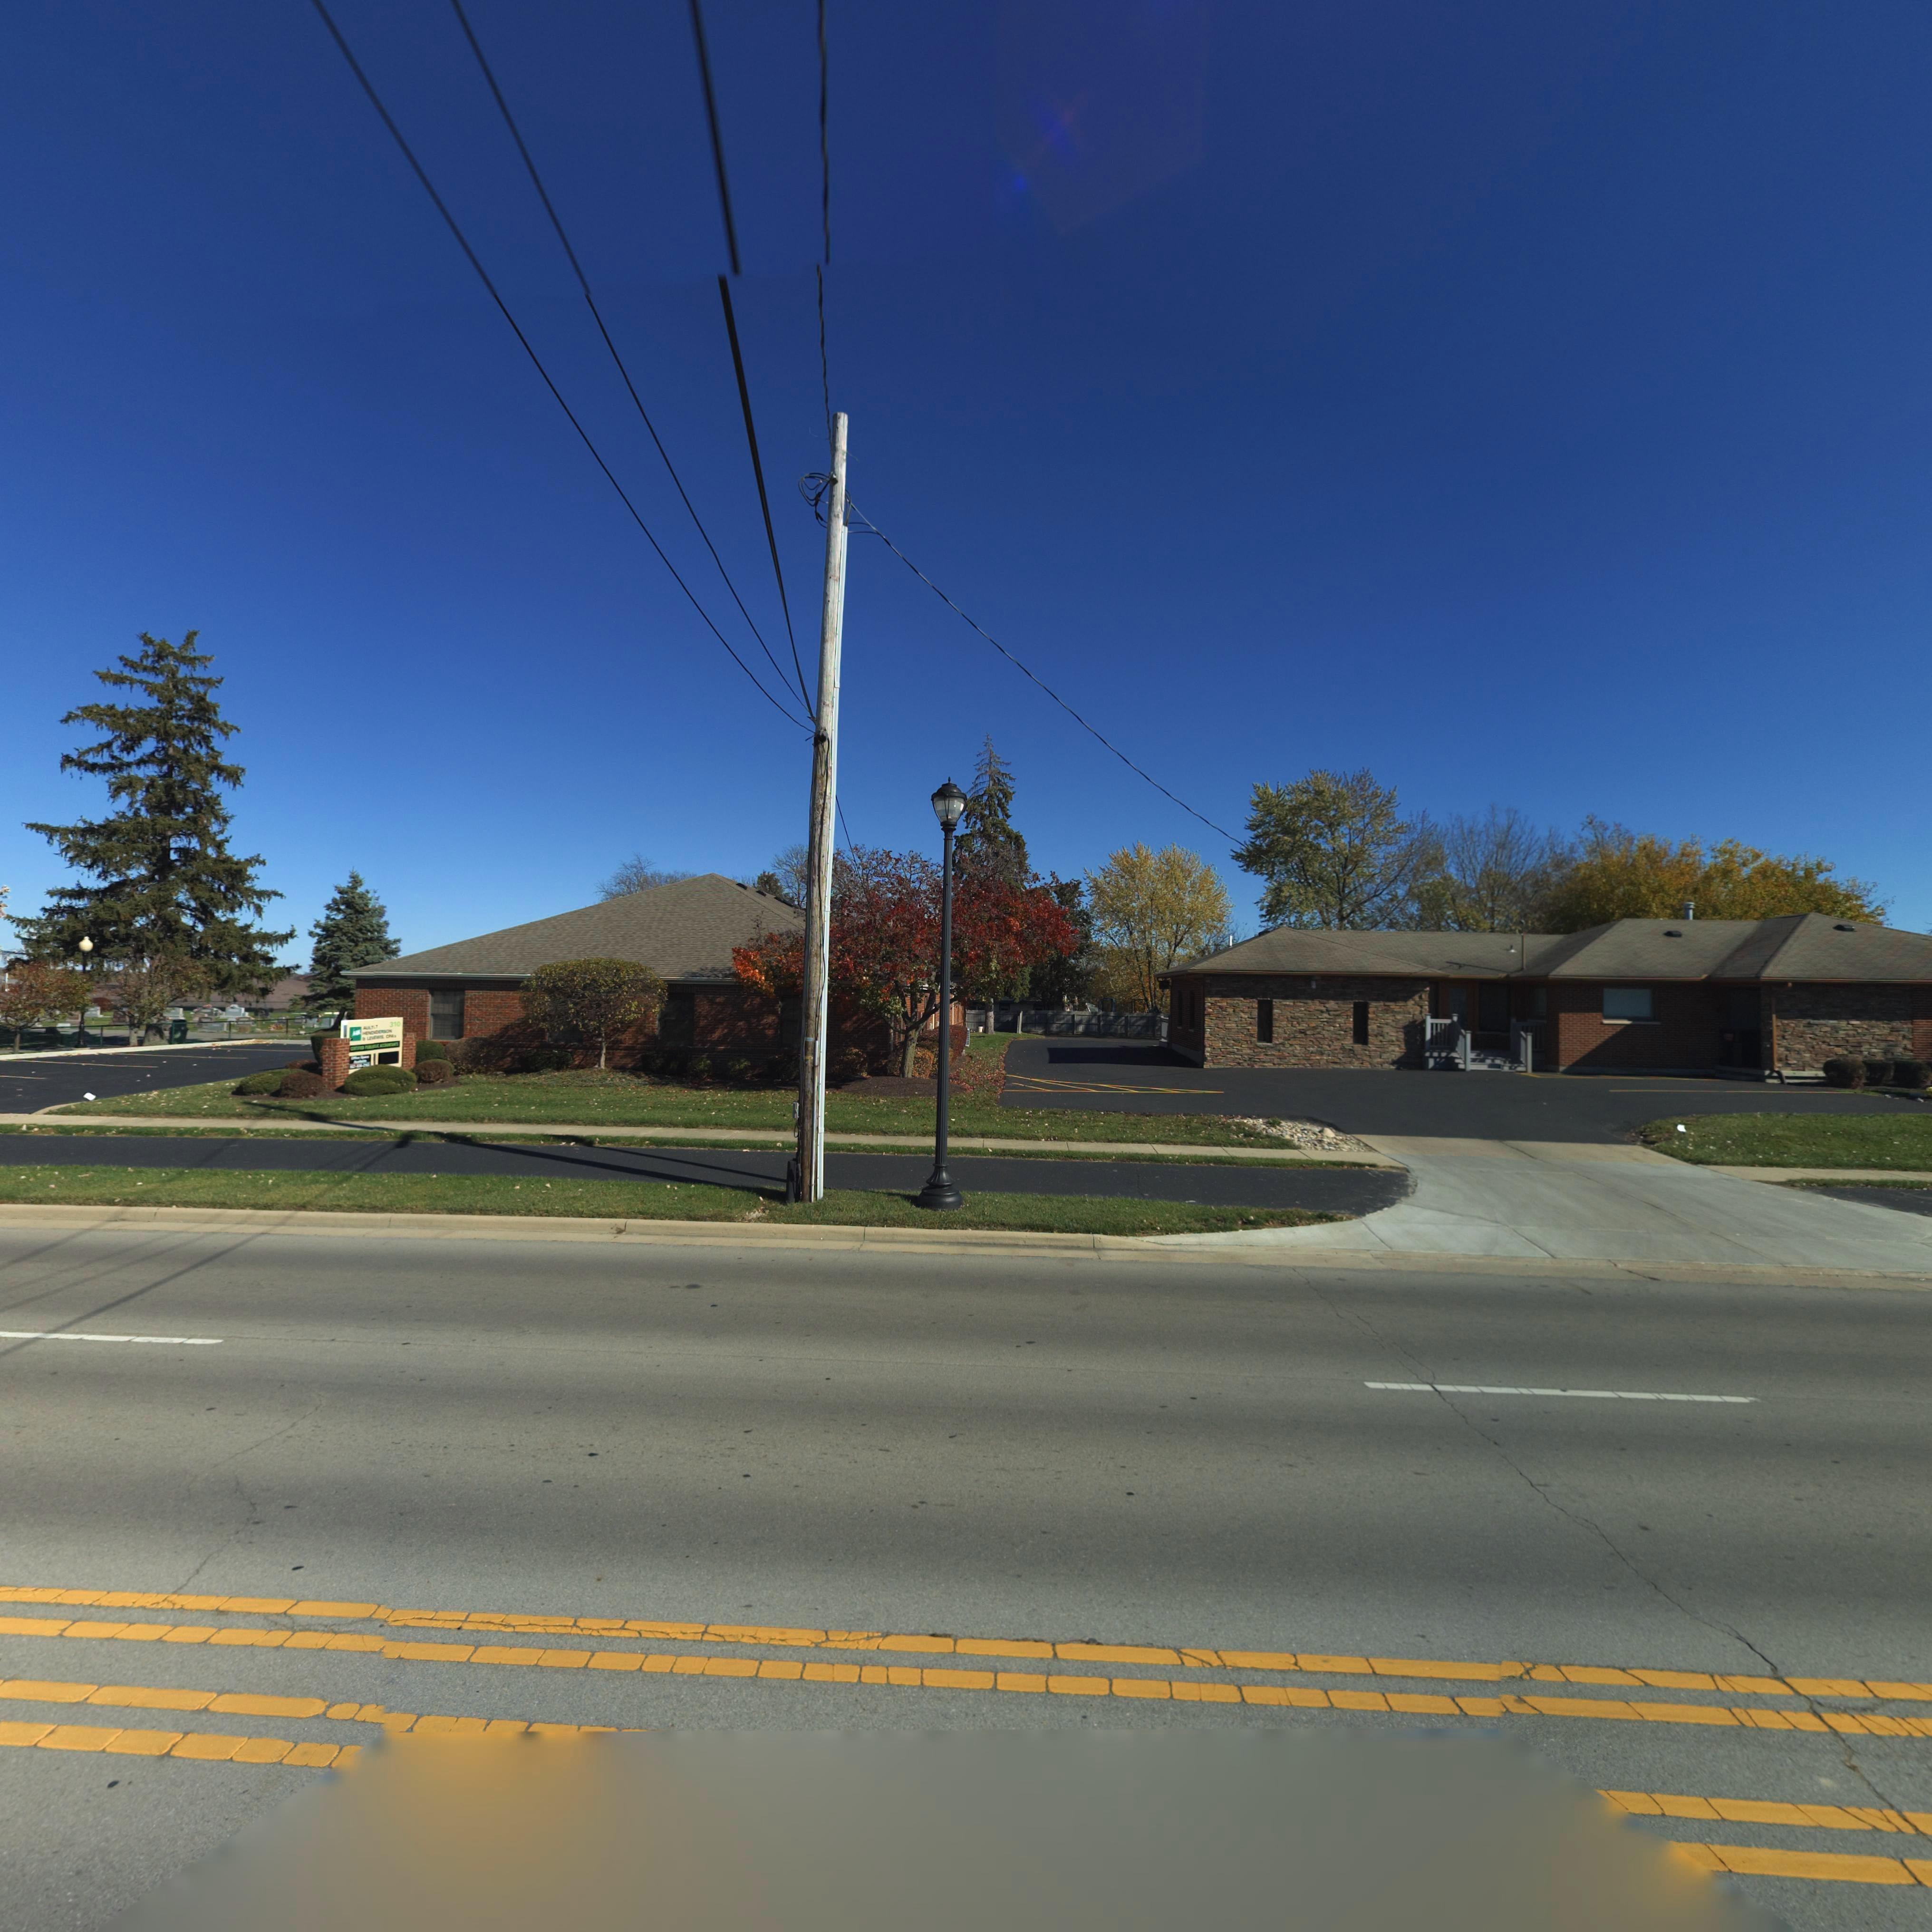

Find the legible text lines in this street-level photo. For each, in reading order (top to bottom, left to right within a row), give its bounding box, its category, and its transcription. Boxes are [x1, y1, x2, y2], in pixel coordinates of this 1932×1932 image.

[362, 1024, 379, 1031] BusinessName: A*LTLT
[389, 1020, 402, 1029] StreetNumber: 310
[362, 1029, 393, 1036] BusinessName: H*ND**ERSON
[366, 1036, 370, 1041] BusinessName: L